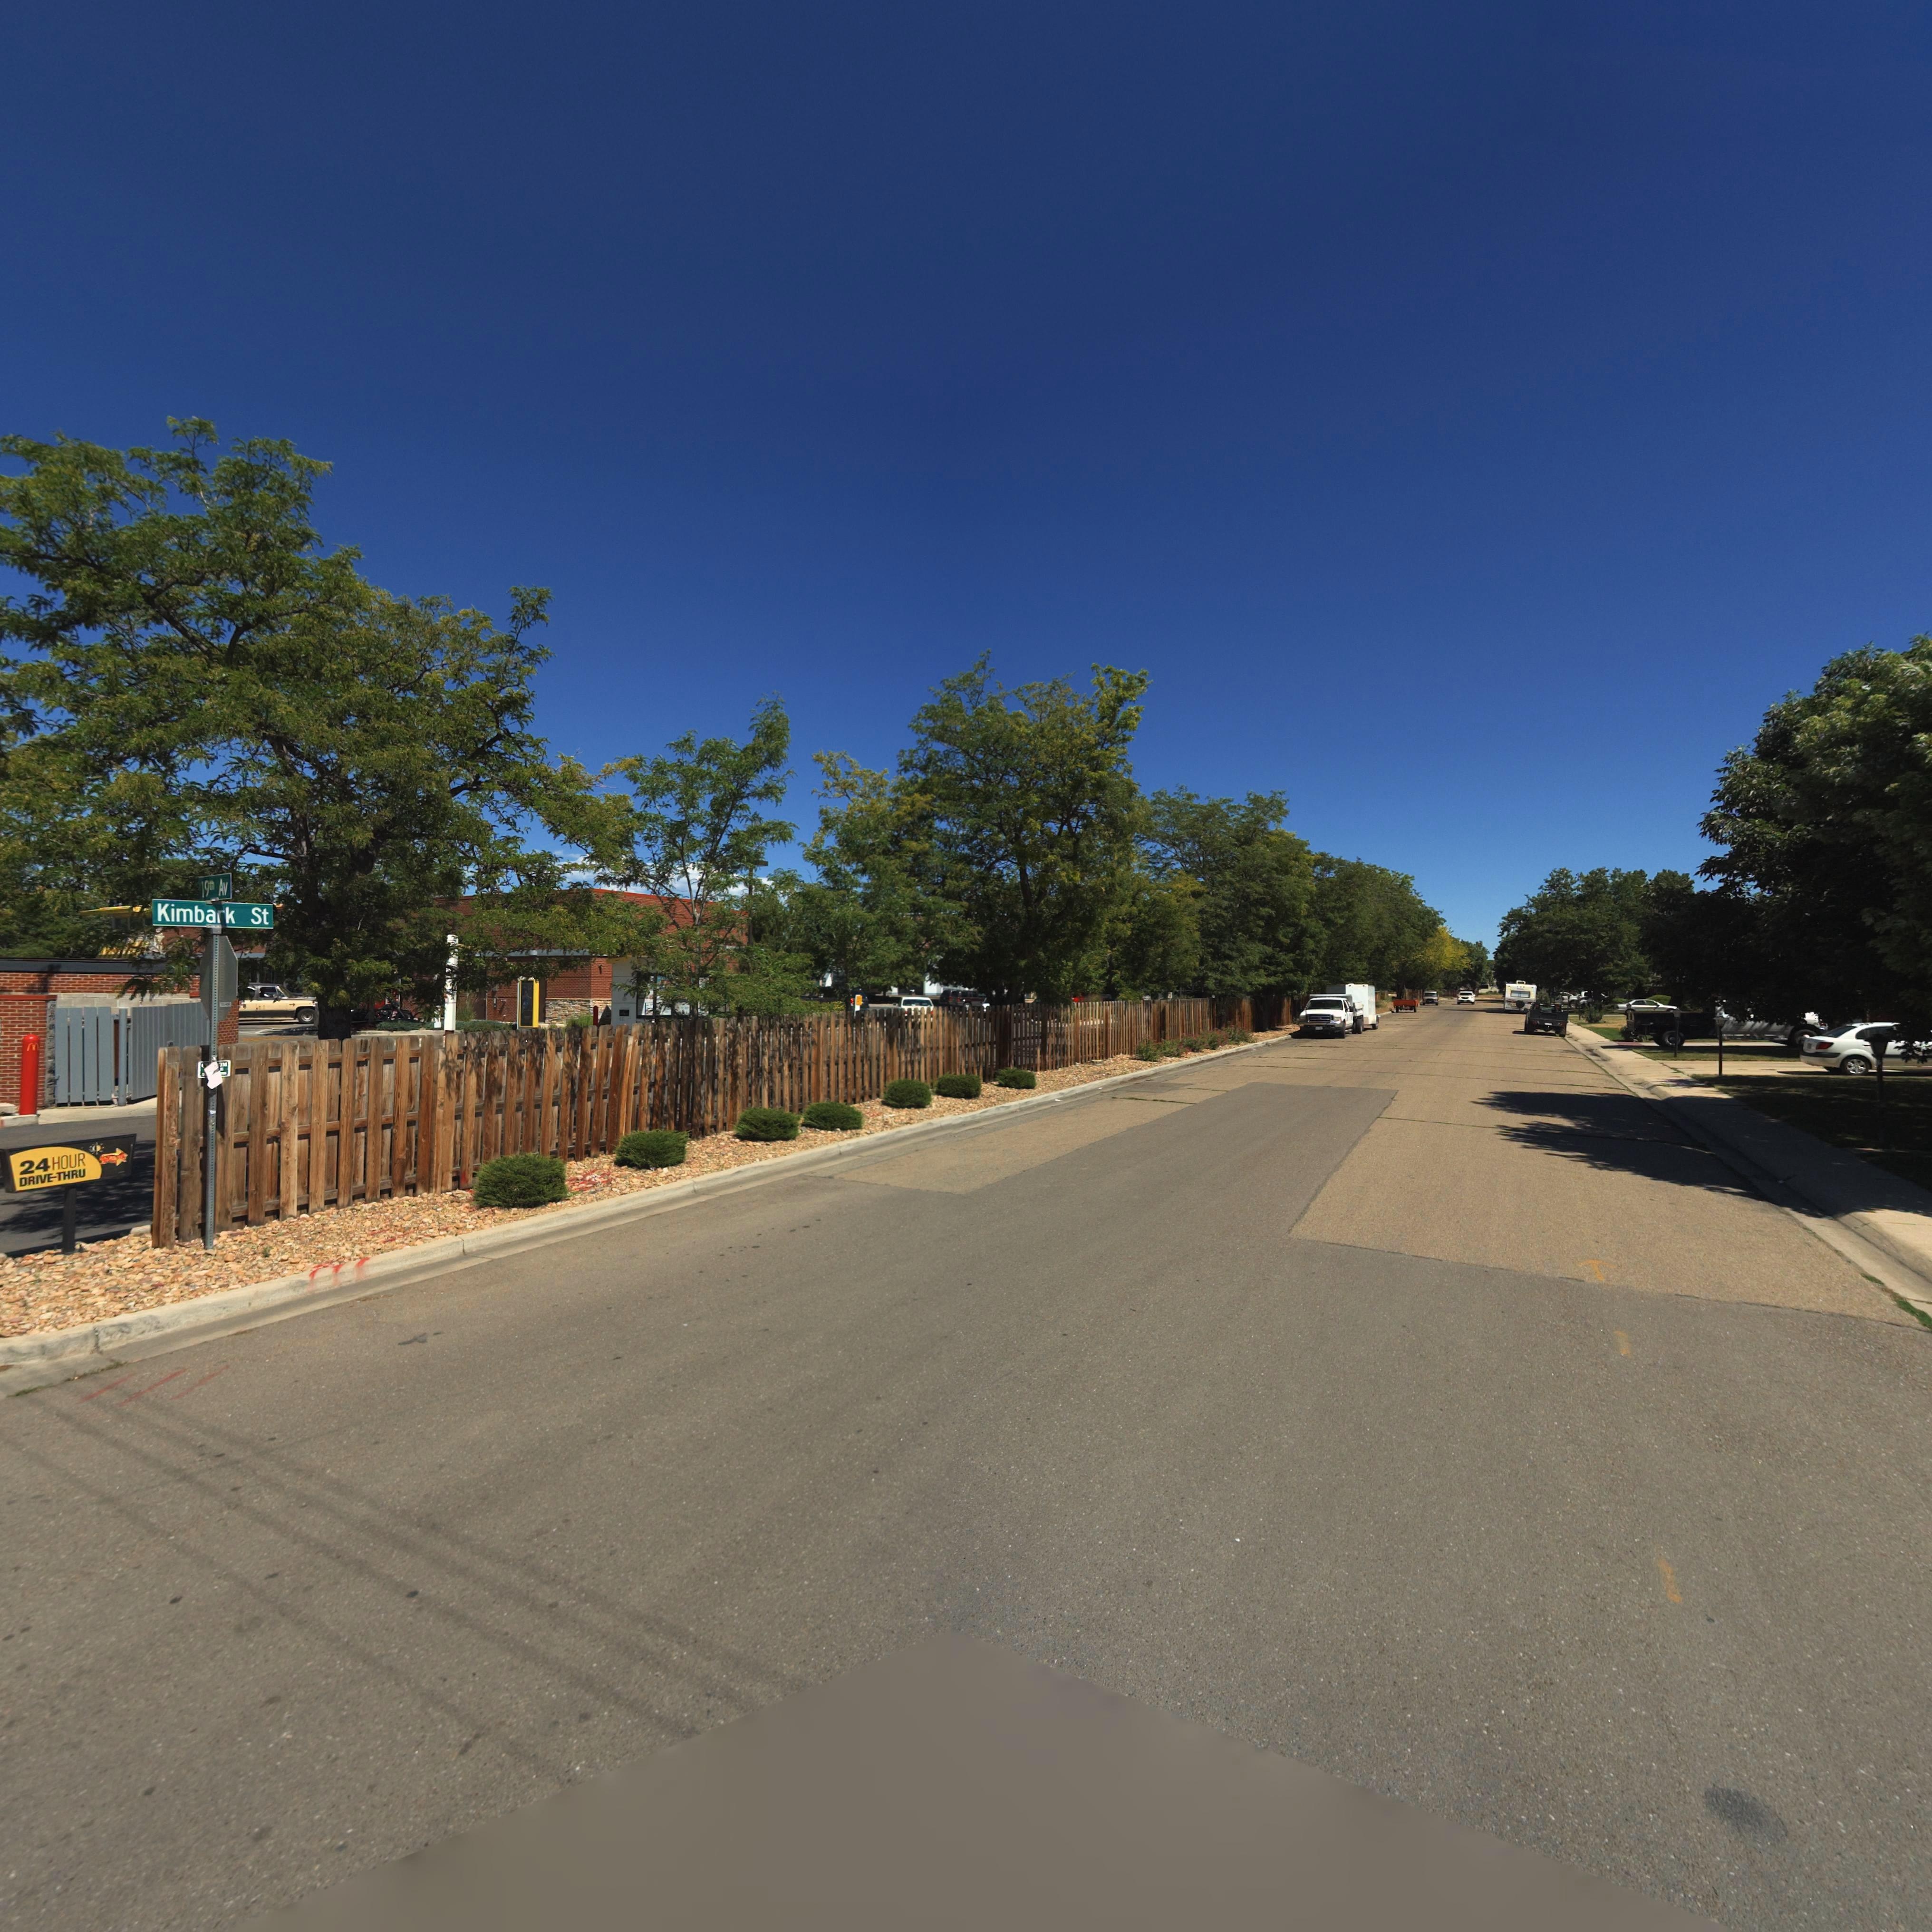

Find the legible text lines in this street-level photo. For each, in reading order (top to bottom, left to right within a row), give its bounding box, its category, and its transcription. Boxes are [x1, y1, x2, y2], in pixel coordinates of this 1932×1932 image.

[200, 878, 228, 898] StreetName: 19th Av
[156, 903, 270, 926] StreetName: Kimbark St